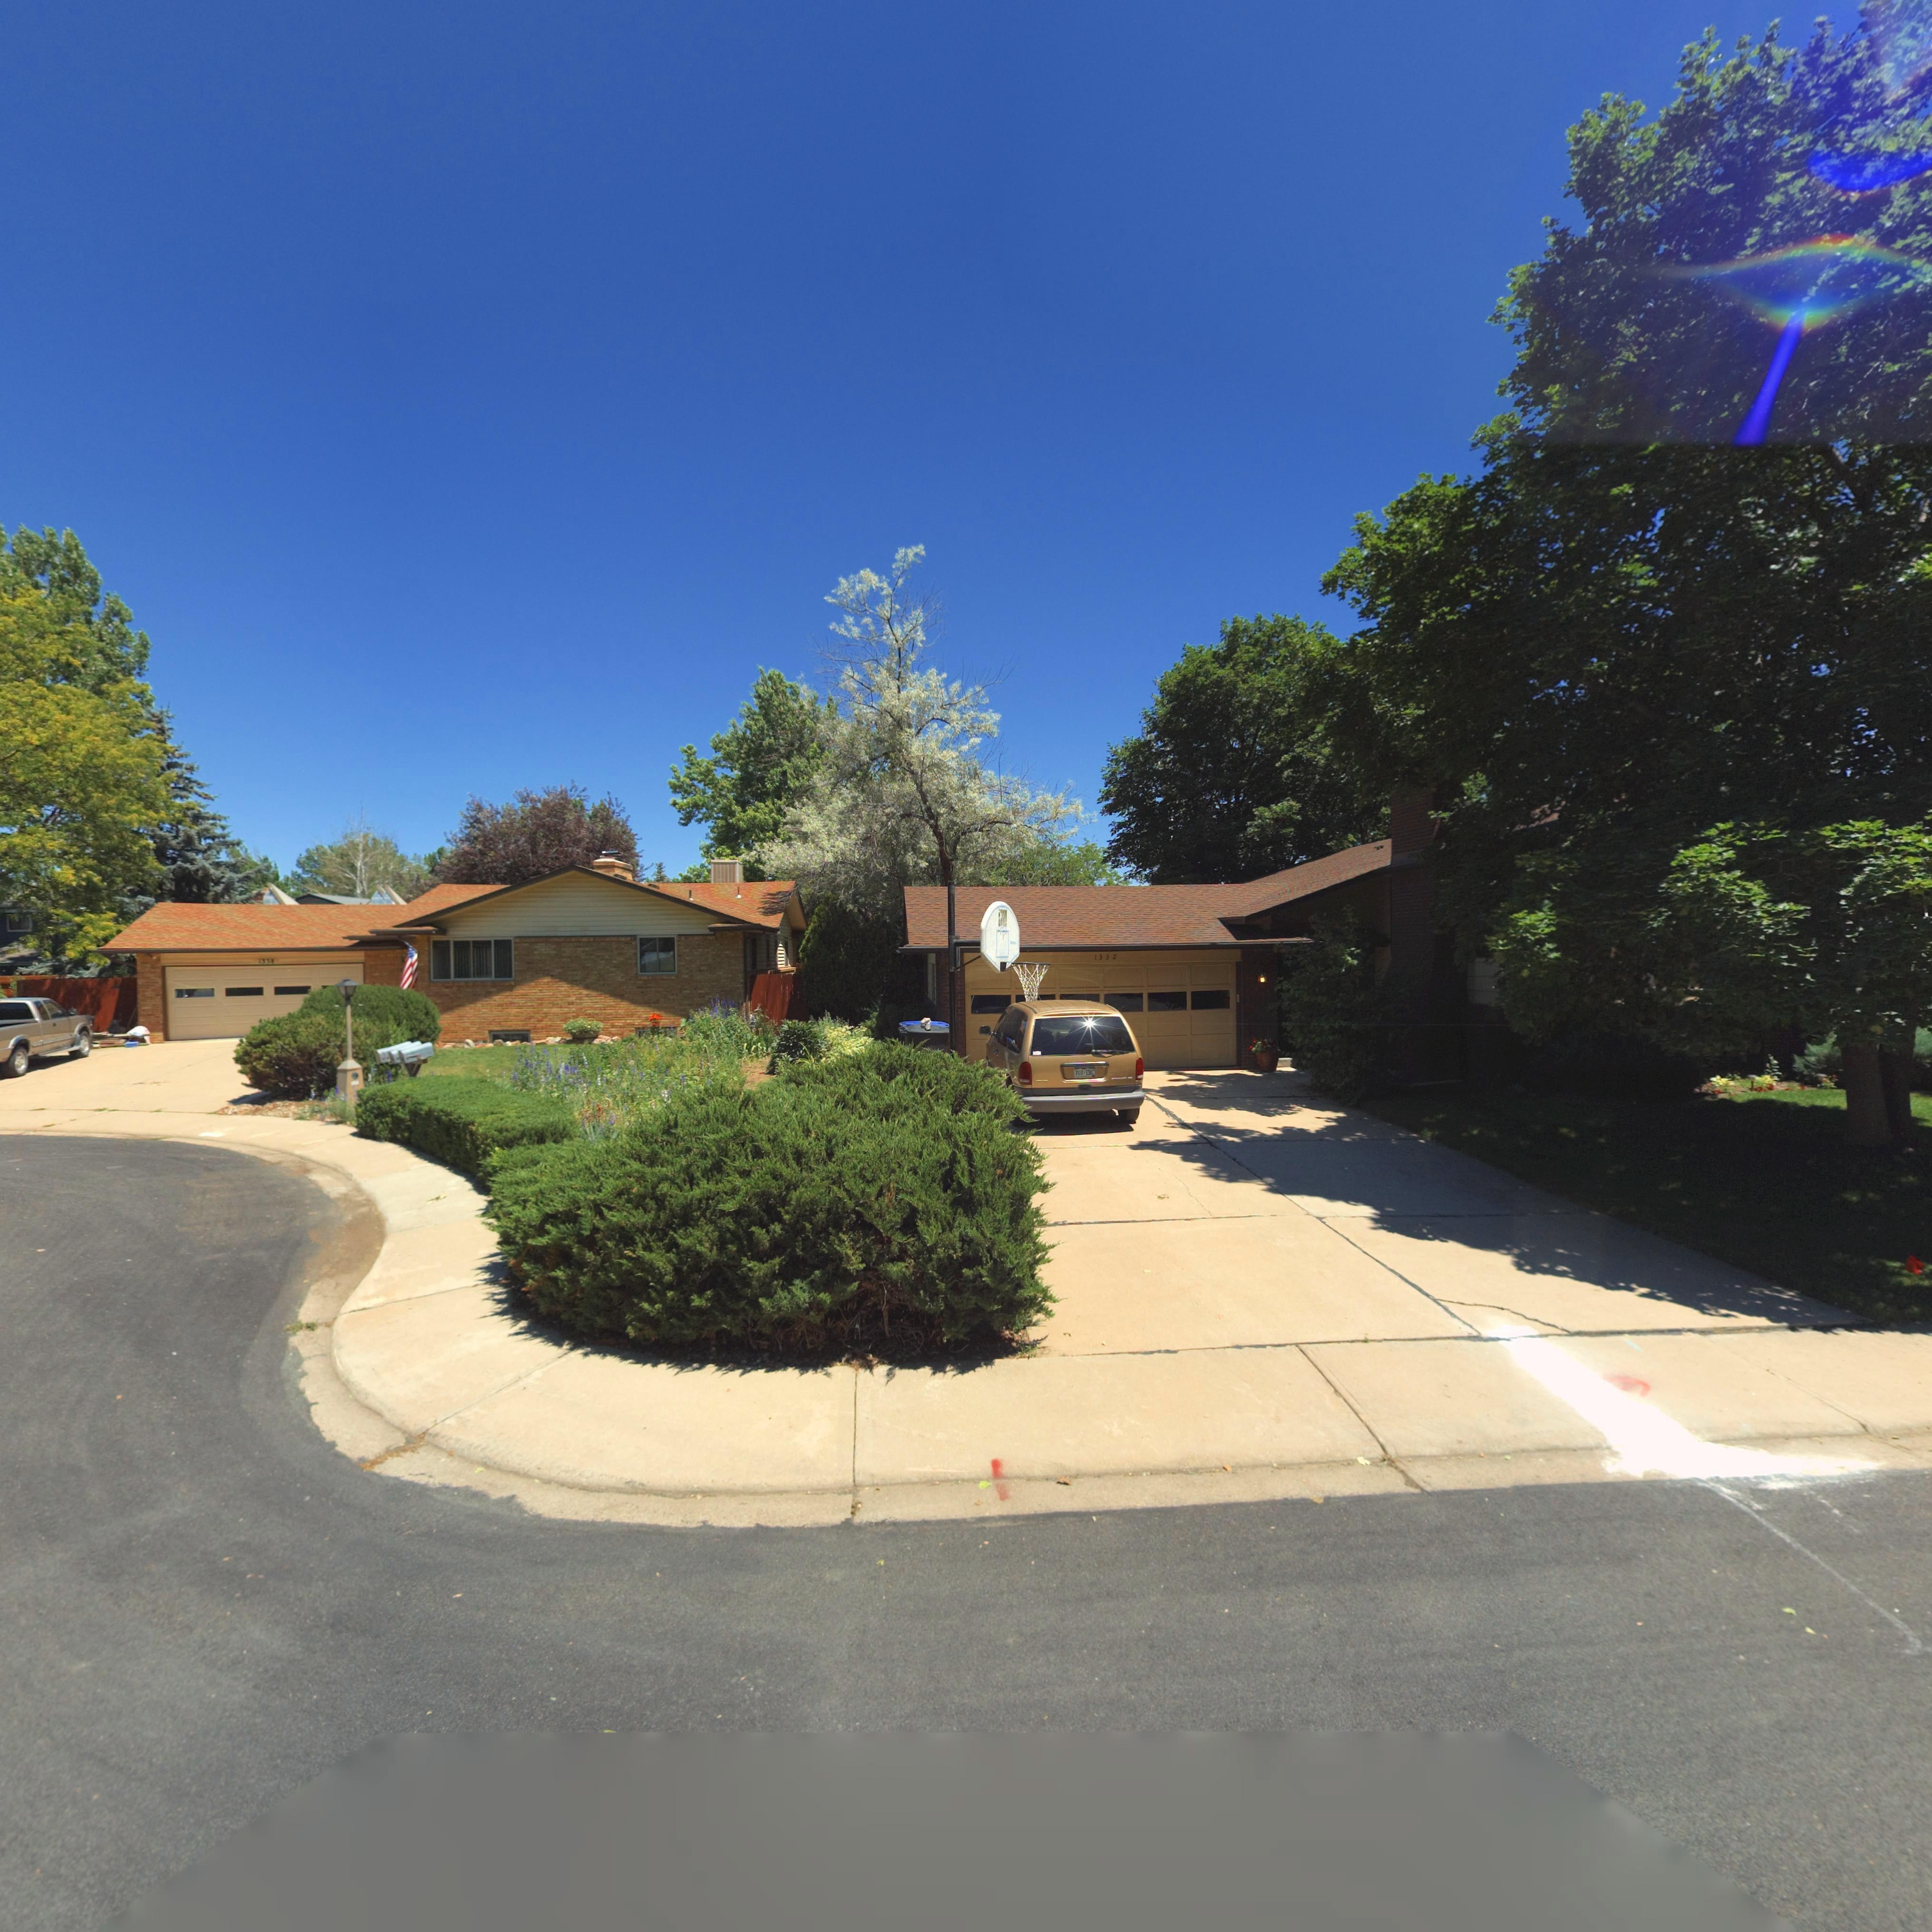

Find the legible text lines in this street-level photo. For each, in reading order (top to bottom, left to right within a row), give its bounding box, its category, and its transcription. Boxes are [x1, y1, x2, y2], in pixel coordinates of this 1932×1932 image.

[1094, 954, 1117, 960] StreetNumber: 1332